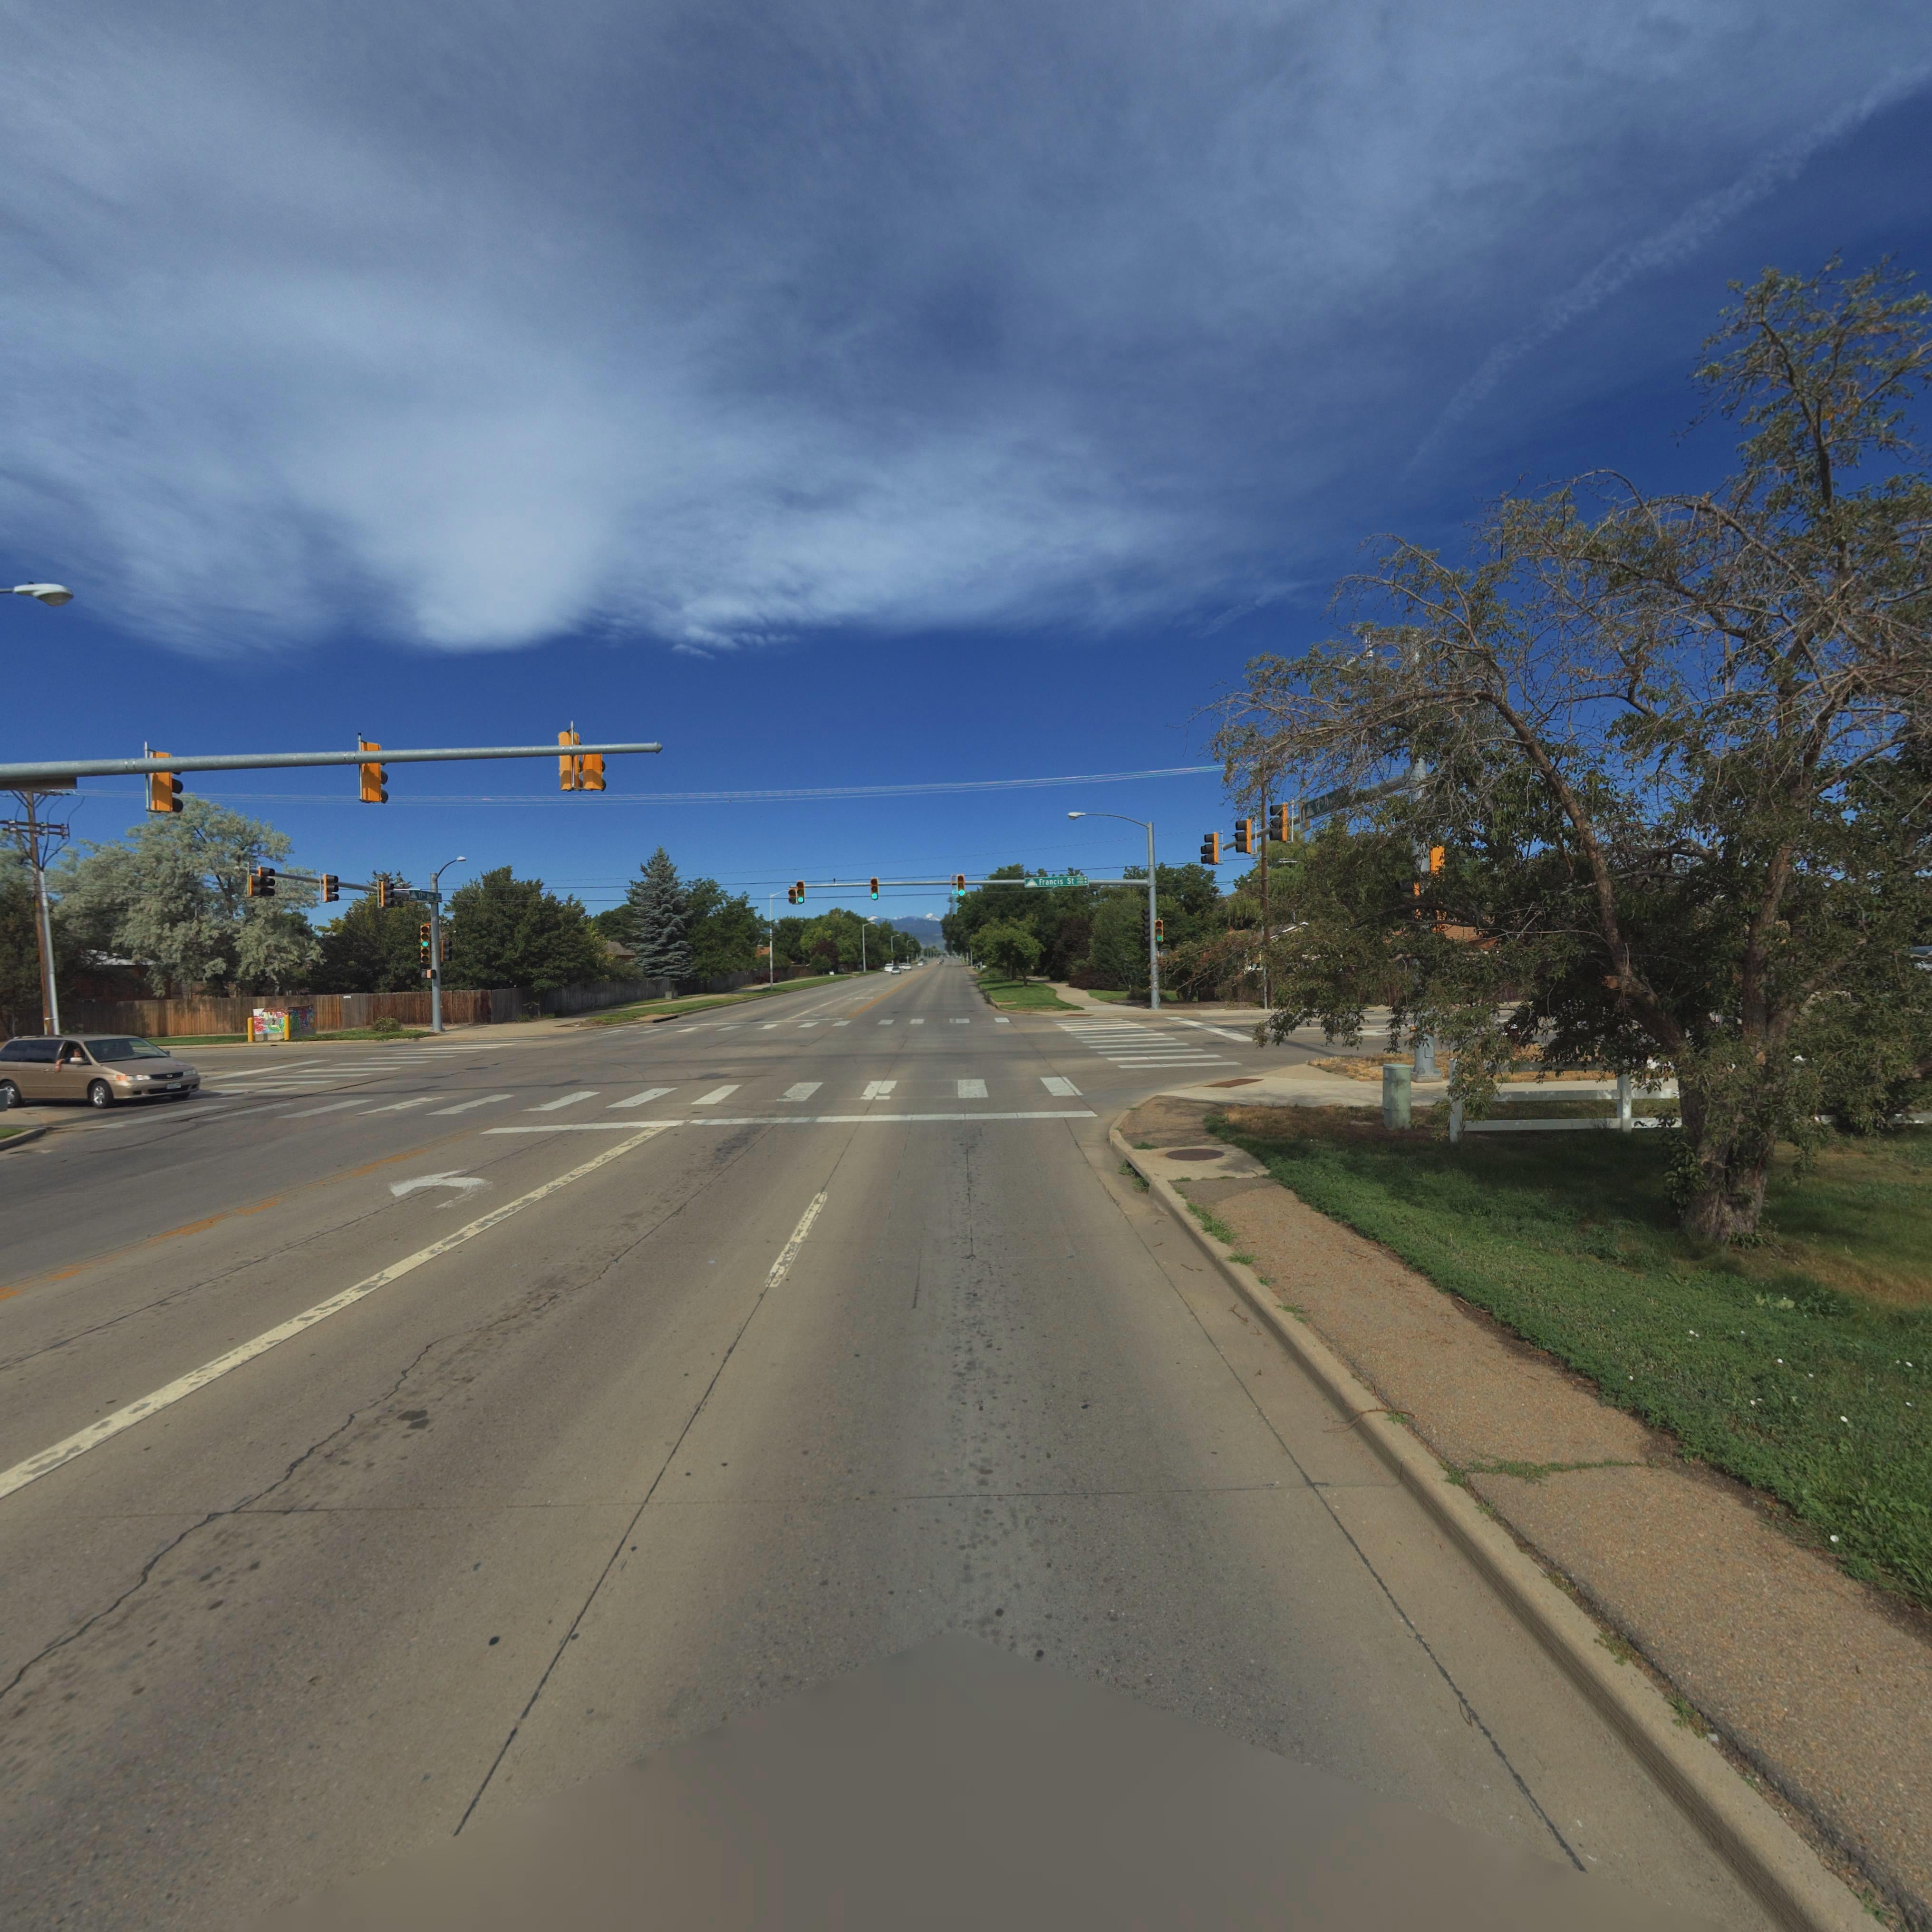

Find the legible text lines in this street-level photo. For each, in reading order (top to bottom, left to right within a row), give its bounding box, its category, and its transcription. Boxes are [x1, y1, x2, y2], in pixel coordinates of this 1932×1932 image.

[1314, 795, 1338, 814] StreetName: 17** Ave
[1038, 877, 1074, 885] StreetName: Francis St
[1076, 877, 1083, 880] StreetNumberRange: 17**
[1077, 880, 1083, 884] StreetNumberRange: *00
[418, 891, 434, 900] StreetName: 17** Ave